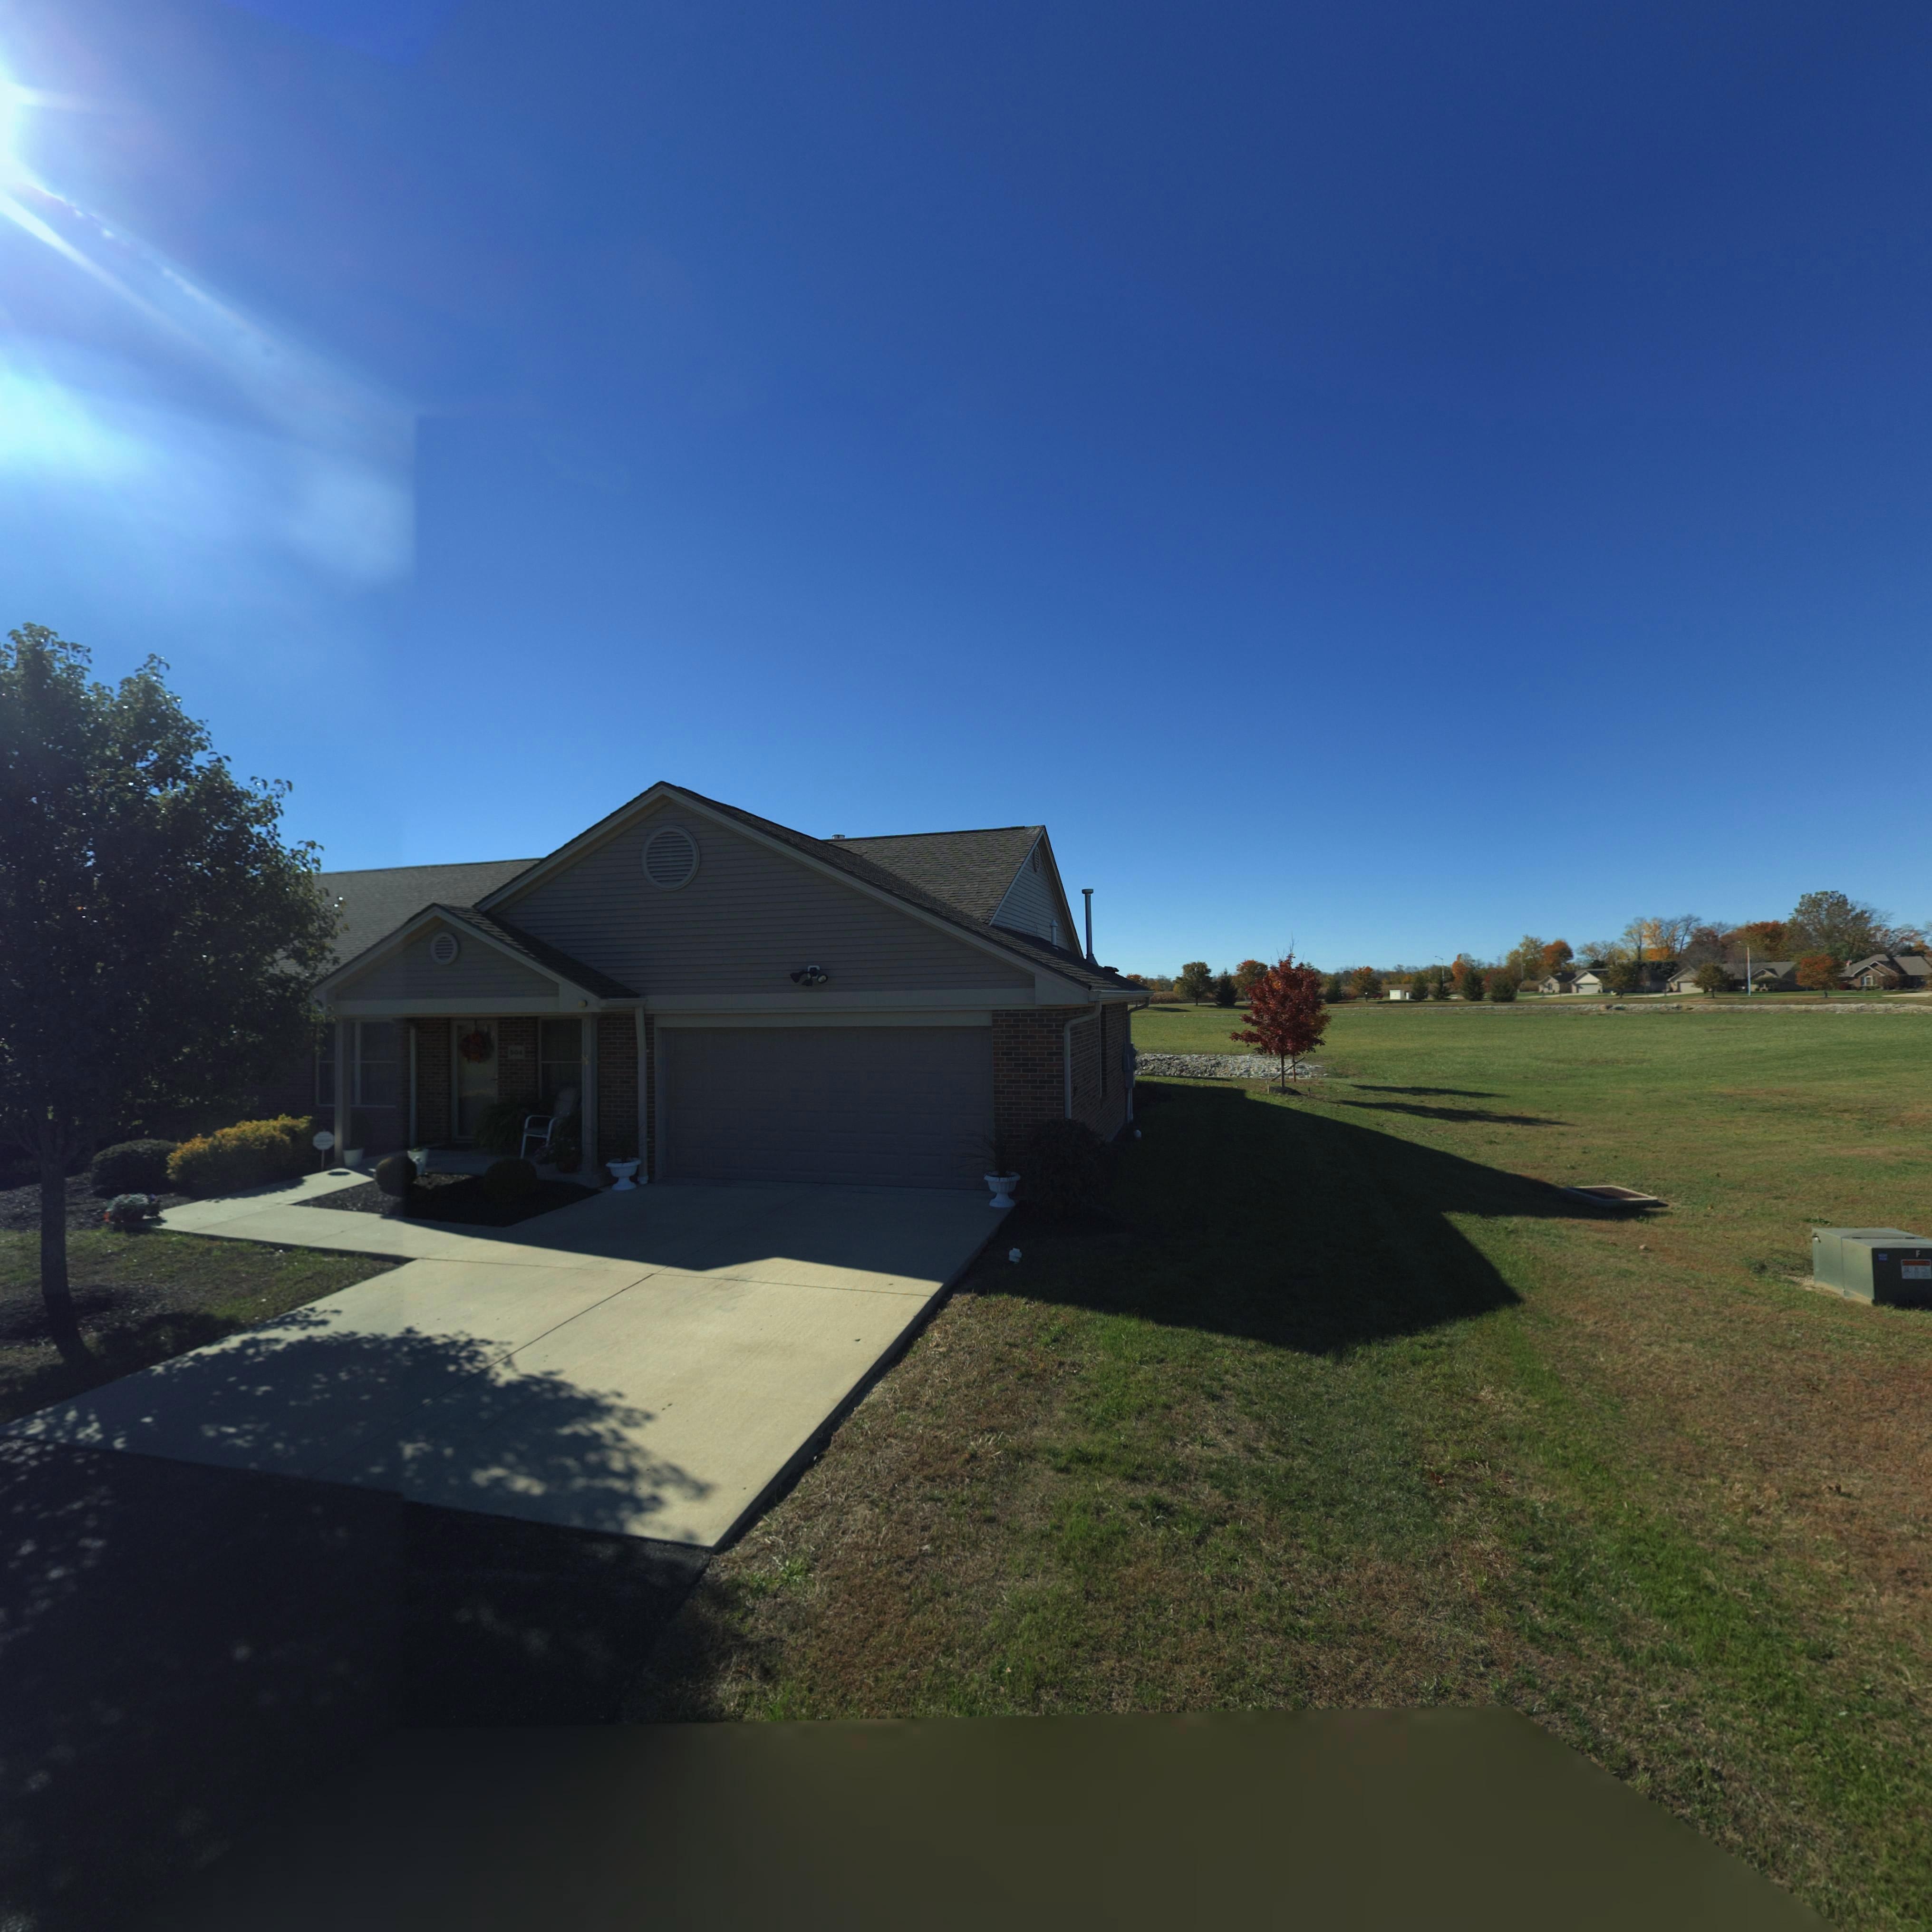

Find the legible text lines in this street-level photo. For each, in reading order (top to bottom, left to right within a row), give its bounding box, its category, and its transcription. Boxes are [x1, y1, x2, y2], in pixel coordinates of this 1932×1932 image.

[509, 1049, 523, 1056] StreetNumber: 504